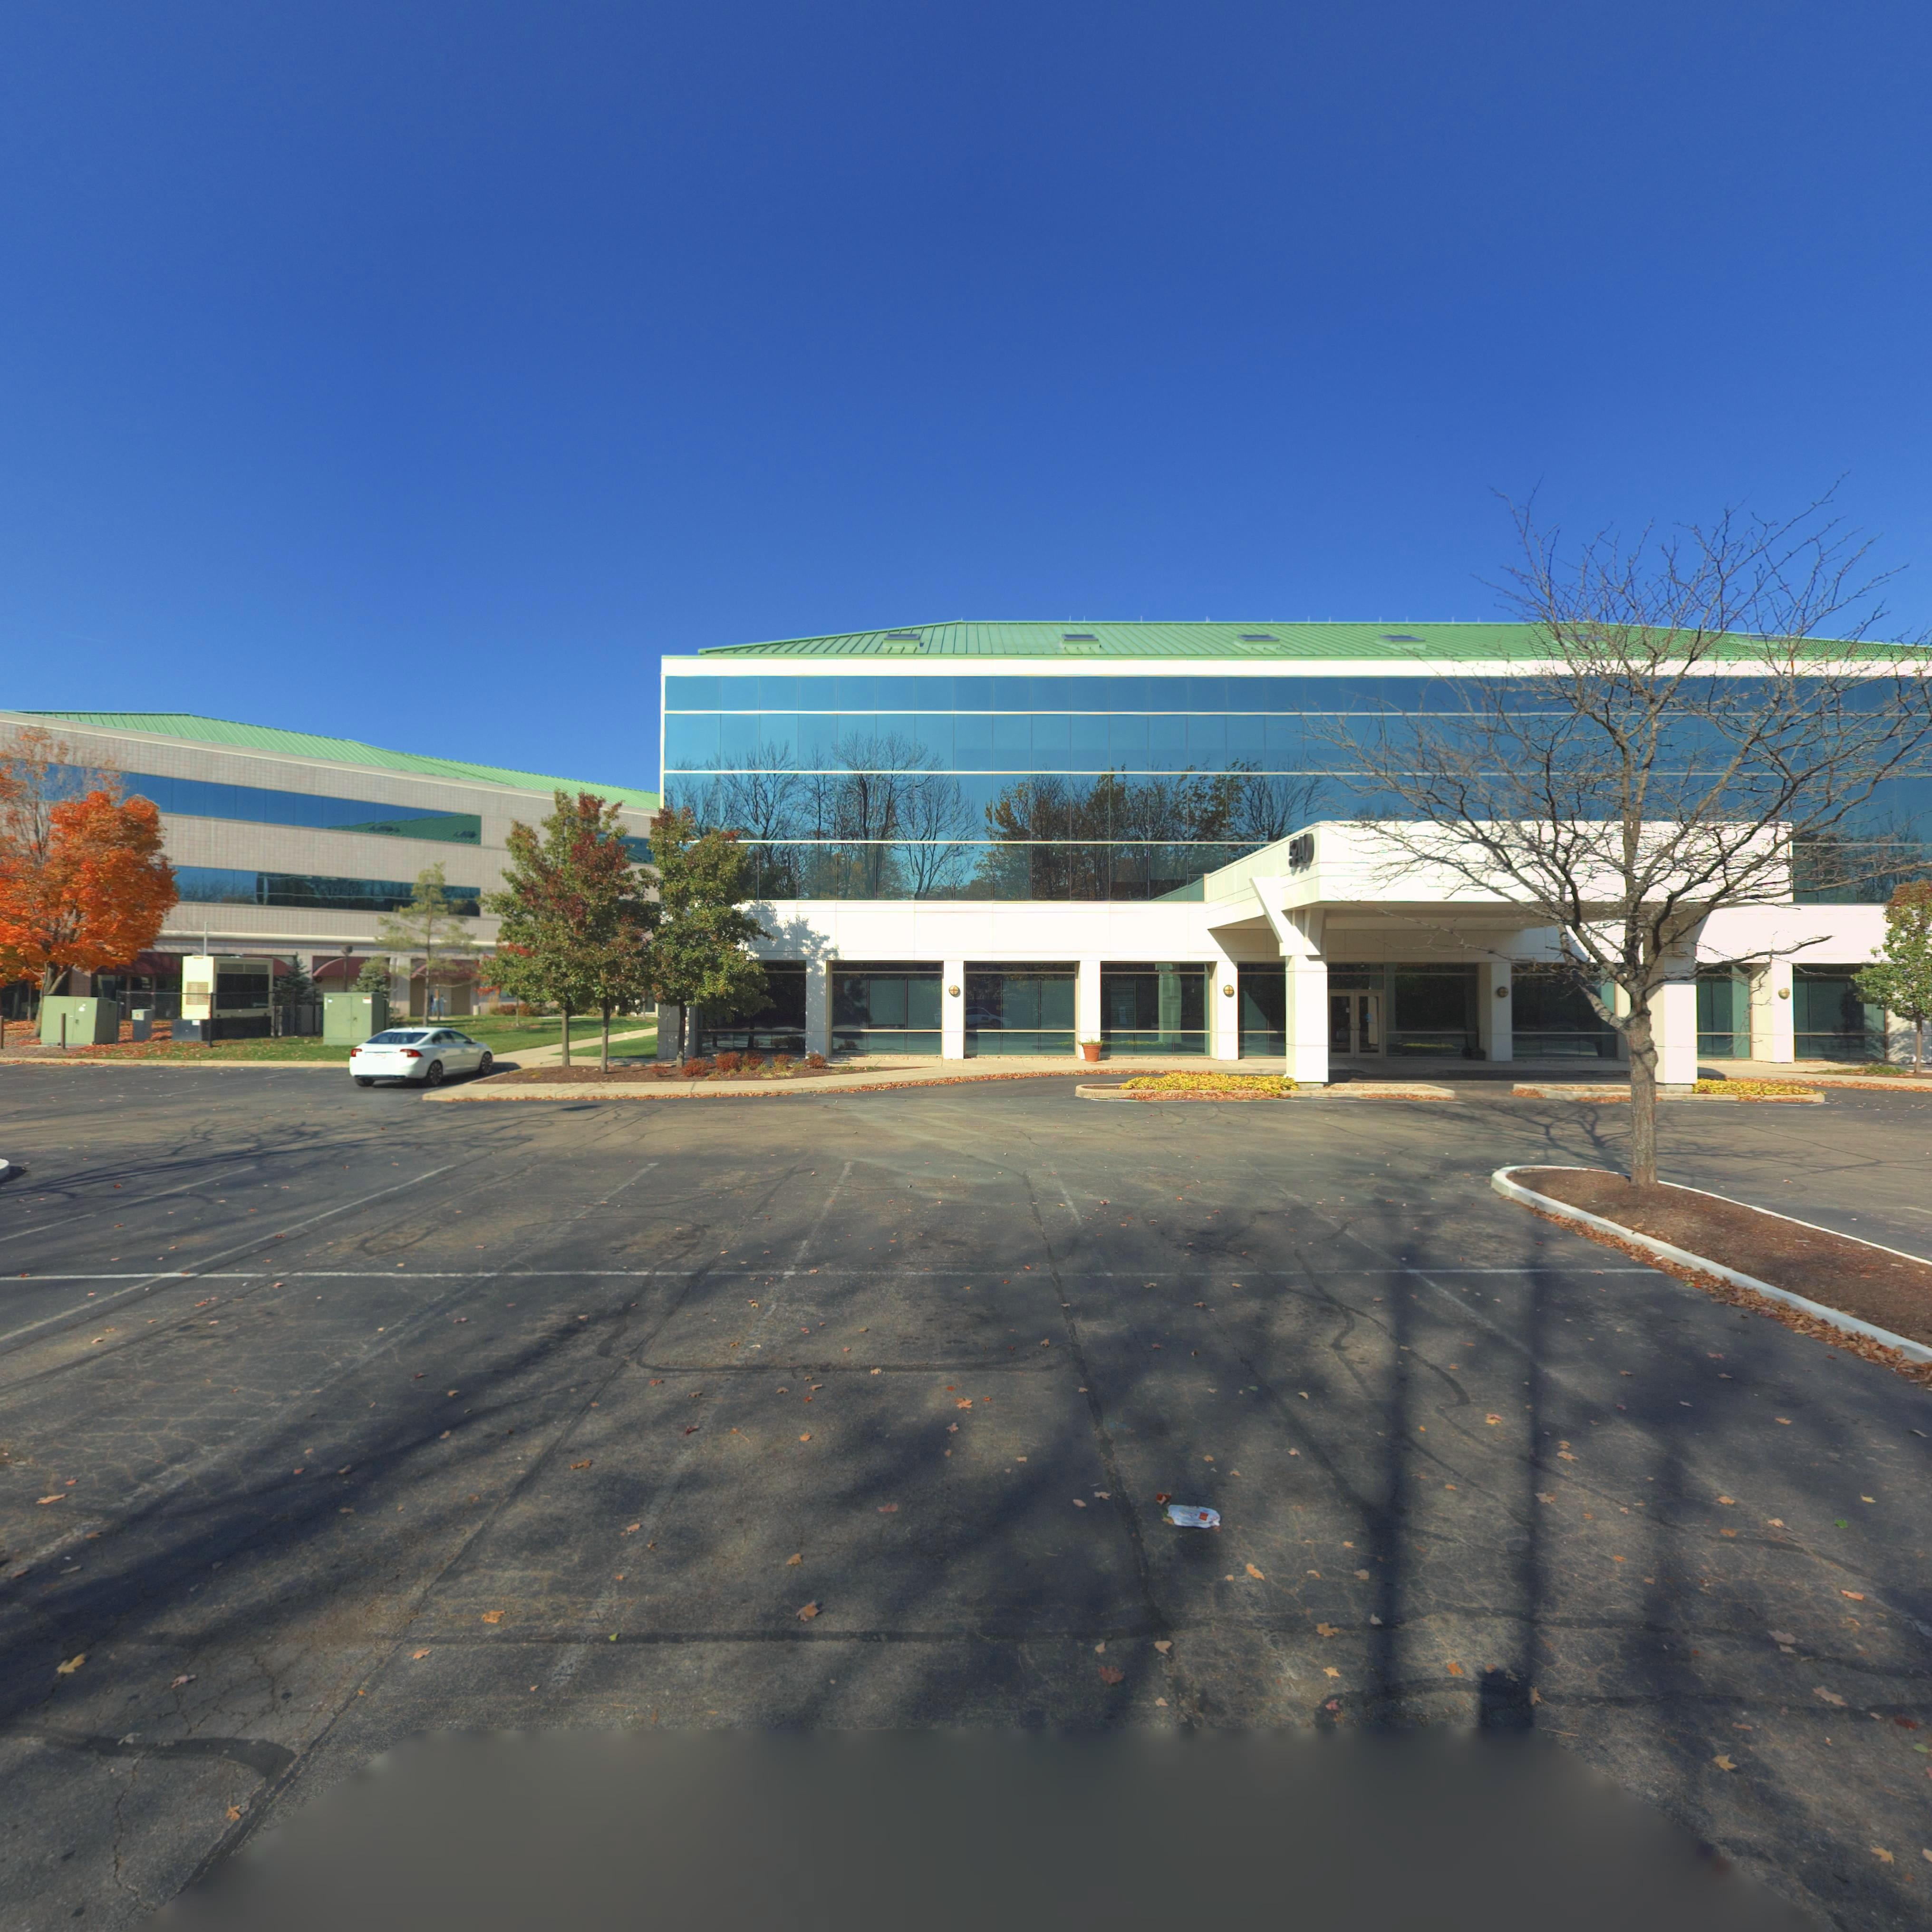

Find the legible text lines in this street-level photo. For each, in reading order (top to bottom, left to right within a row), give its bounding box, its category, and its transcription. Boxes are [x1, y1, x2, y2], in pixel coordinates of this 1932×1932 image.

[1288, 831, 1315, 869] StreetNumber: 540